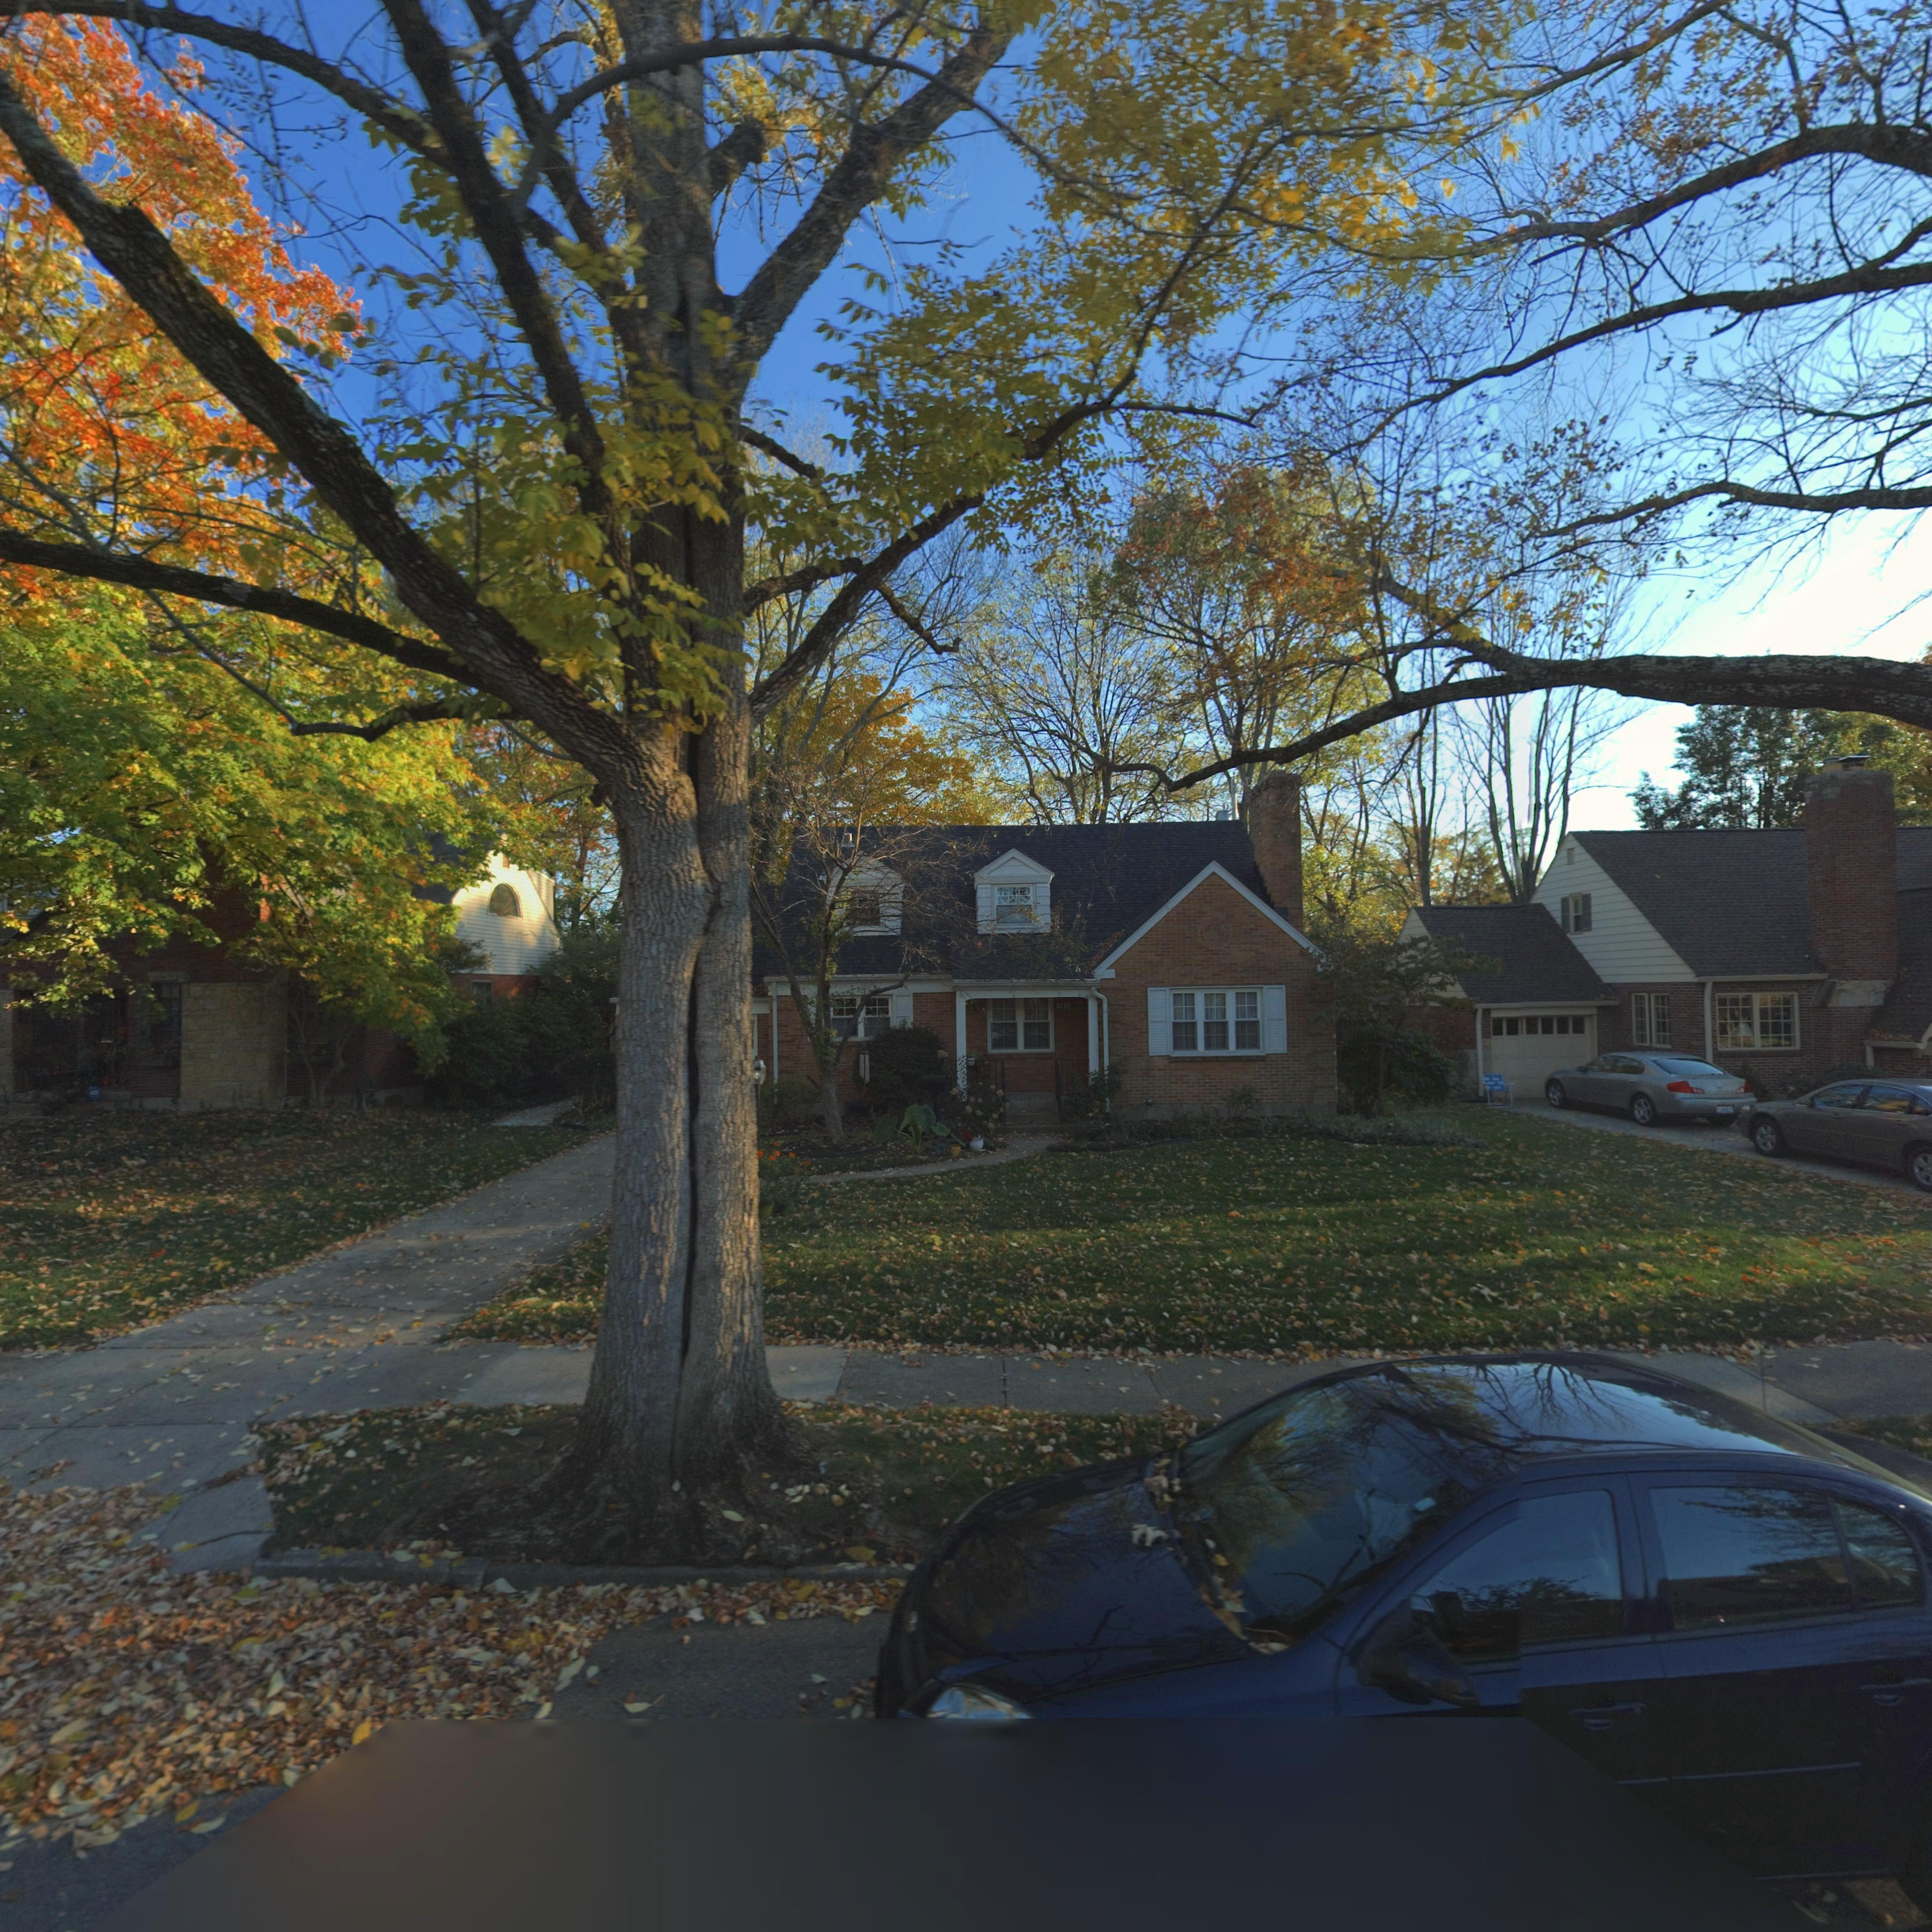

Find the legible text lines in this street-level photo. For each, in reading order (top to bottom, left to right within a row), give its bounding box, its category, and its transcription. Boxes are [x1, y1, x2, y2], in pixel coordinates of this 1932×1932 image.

[1057, 1003, 1070, 1009] StreetNumber: 14*